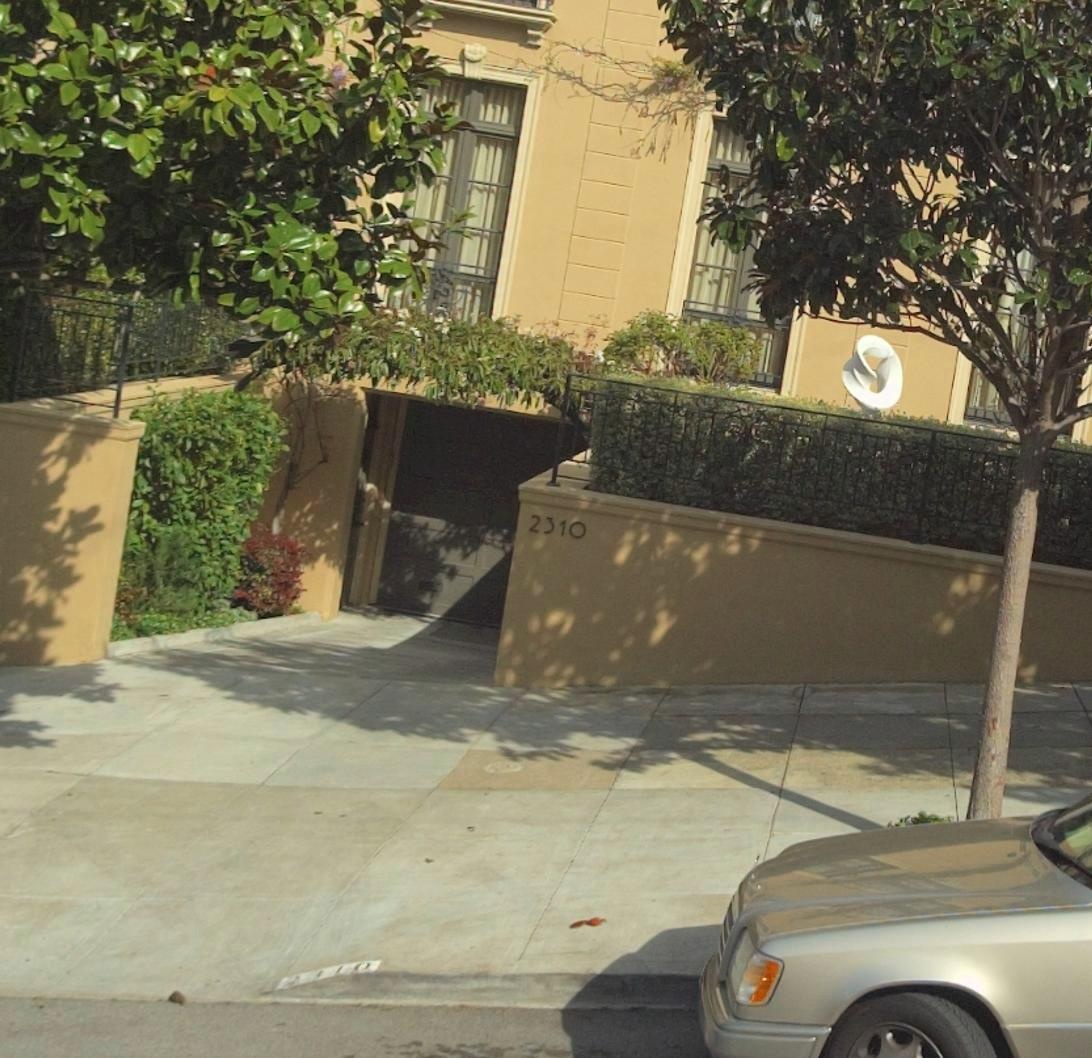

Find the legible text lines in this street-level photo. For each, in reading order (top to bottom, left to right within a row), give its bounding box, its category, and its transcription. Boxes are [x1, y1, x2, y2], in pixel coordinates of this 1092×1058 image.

[526, 512, 588, 543] StreetNumber: 2310